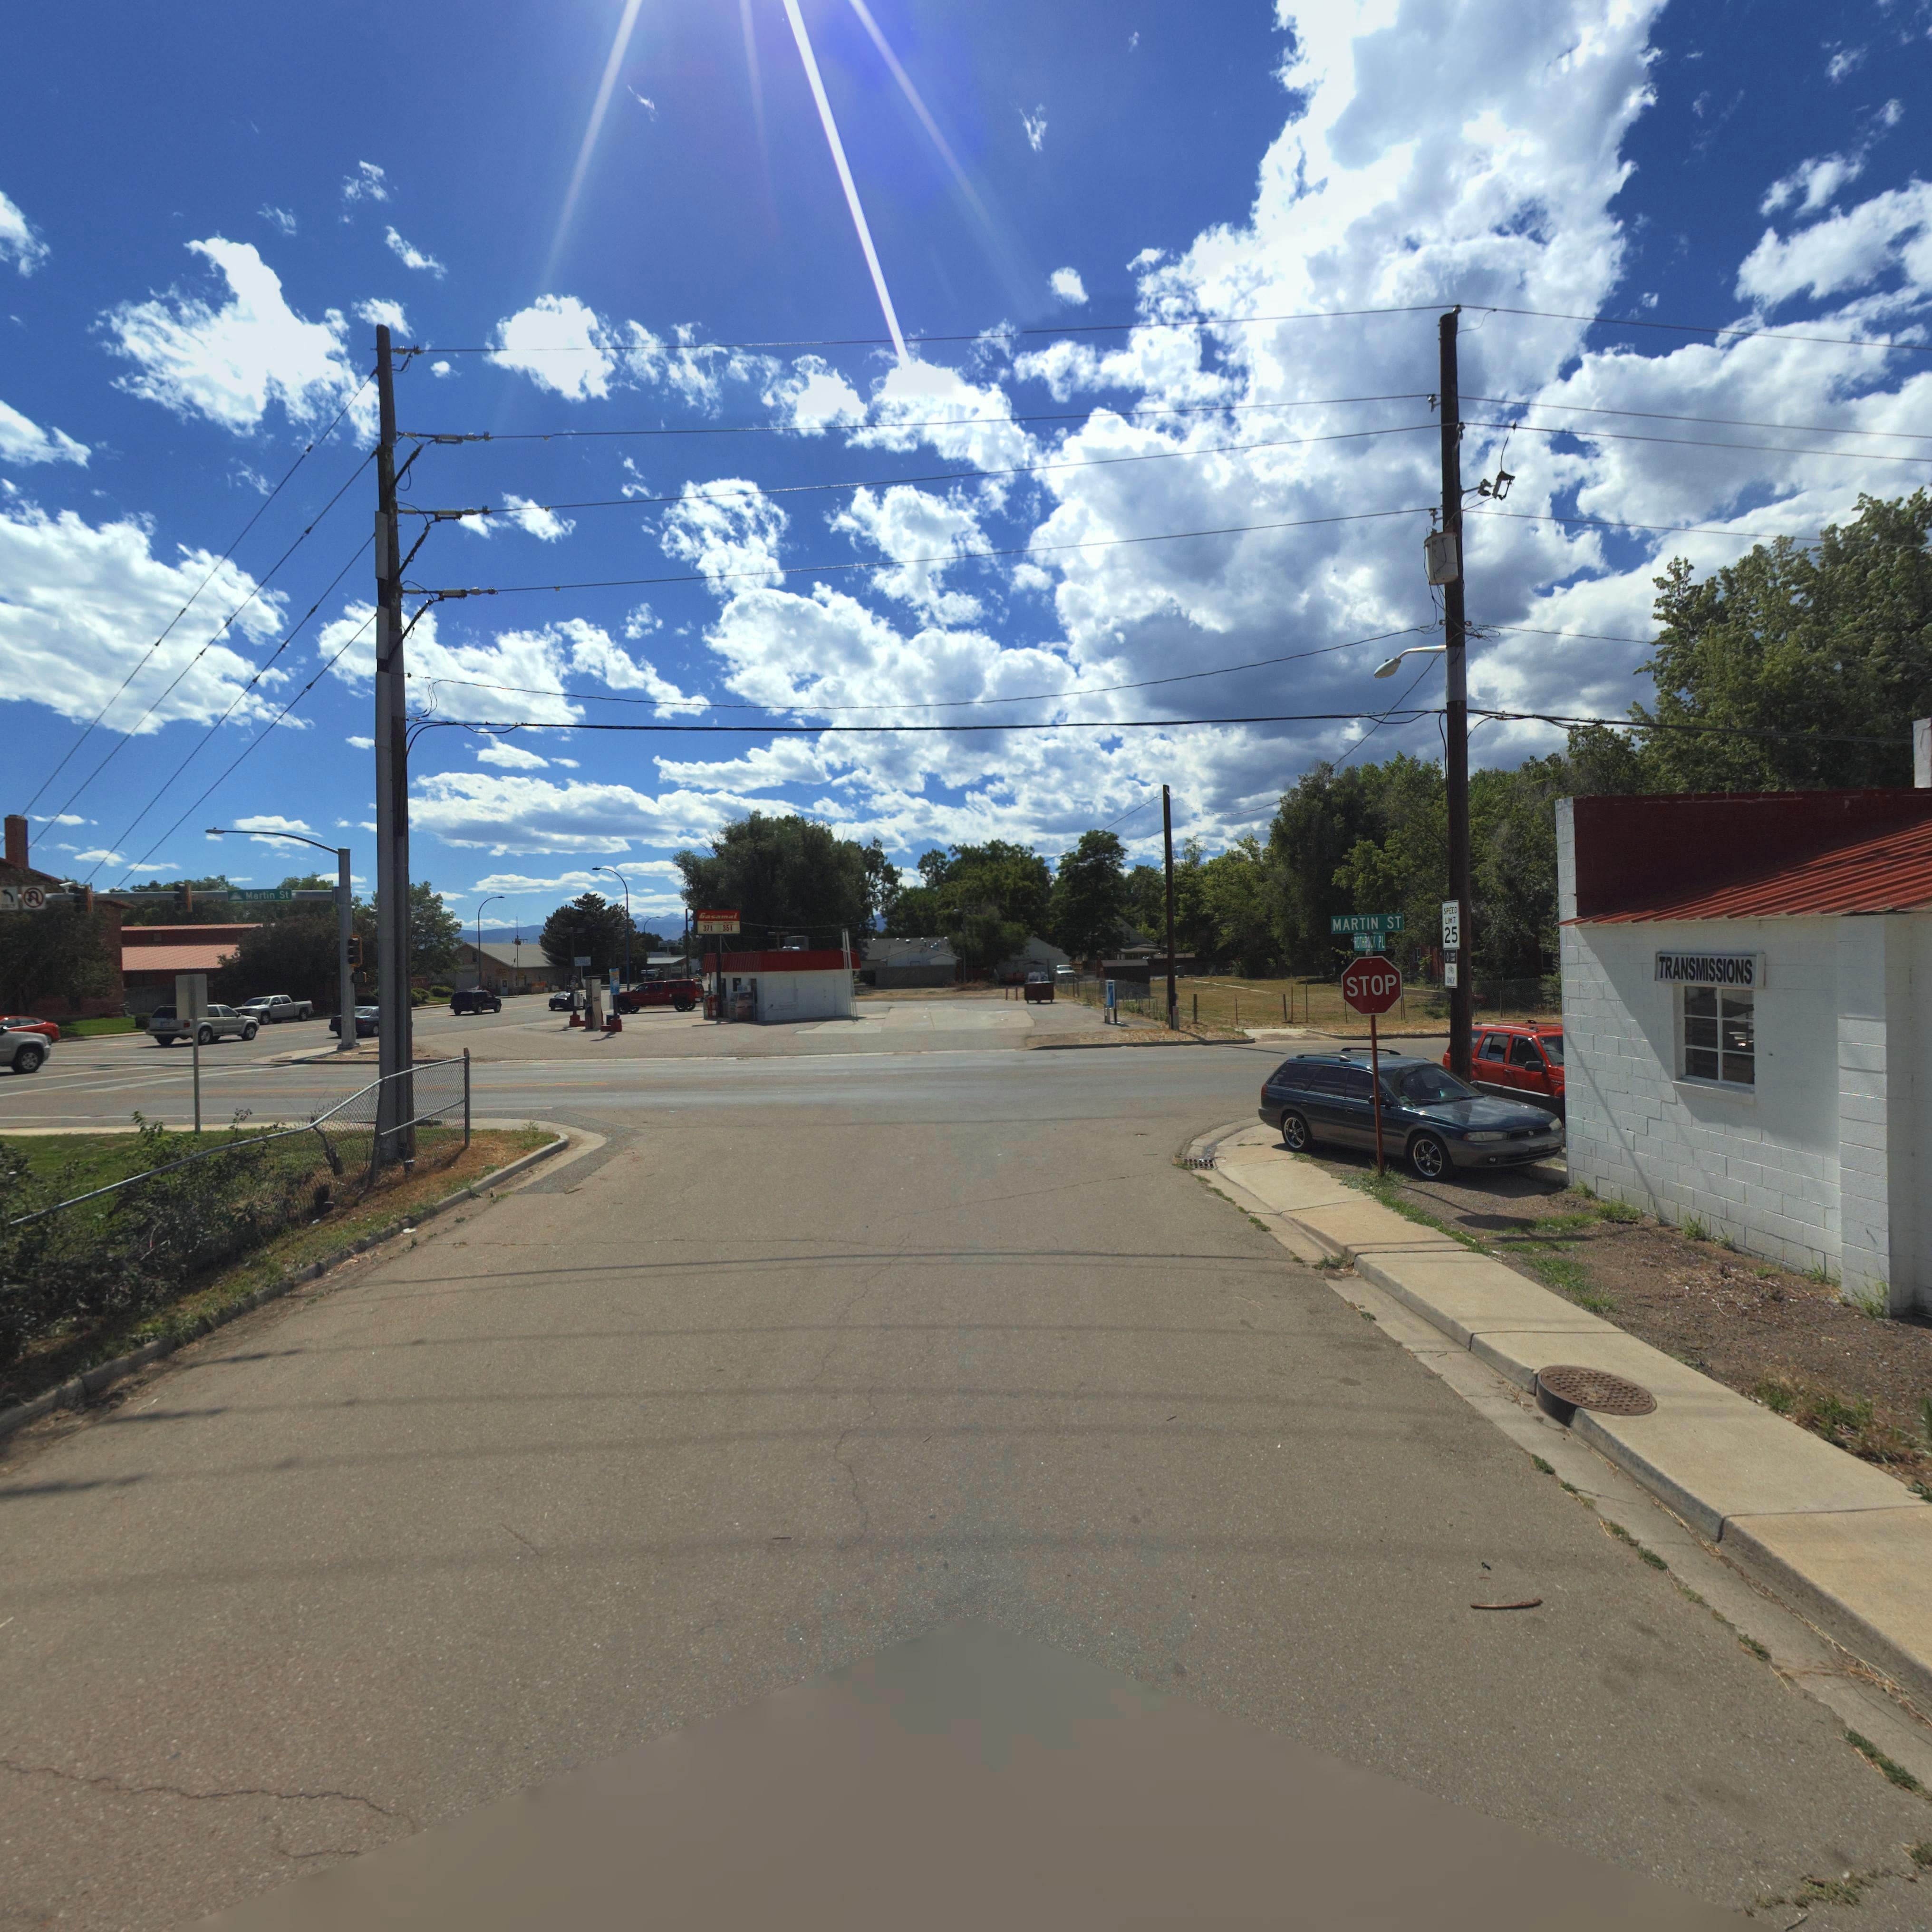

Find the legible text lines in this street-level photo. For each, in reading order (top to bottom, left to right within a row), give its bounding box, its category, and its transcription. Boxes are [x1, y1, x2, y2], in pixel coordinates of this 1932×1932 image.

[245, 890, 289, 899] StreetName: Martin St
[698, 911, 738, 919] BusinessName: Gasamat
[1333, 916, 1401, 931] StreetName: MARTIN ST
[1354, 935, 1384, 948] StreetName: ROTHROCK PL